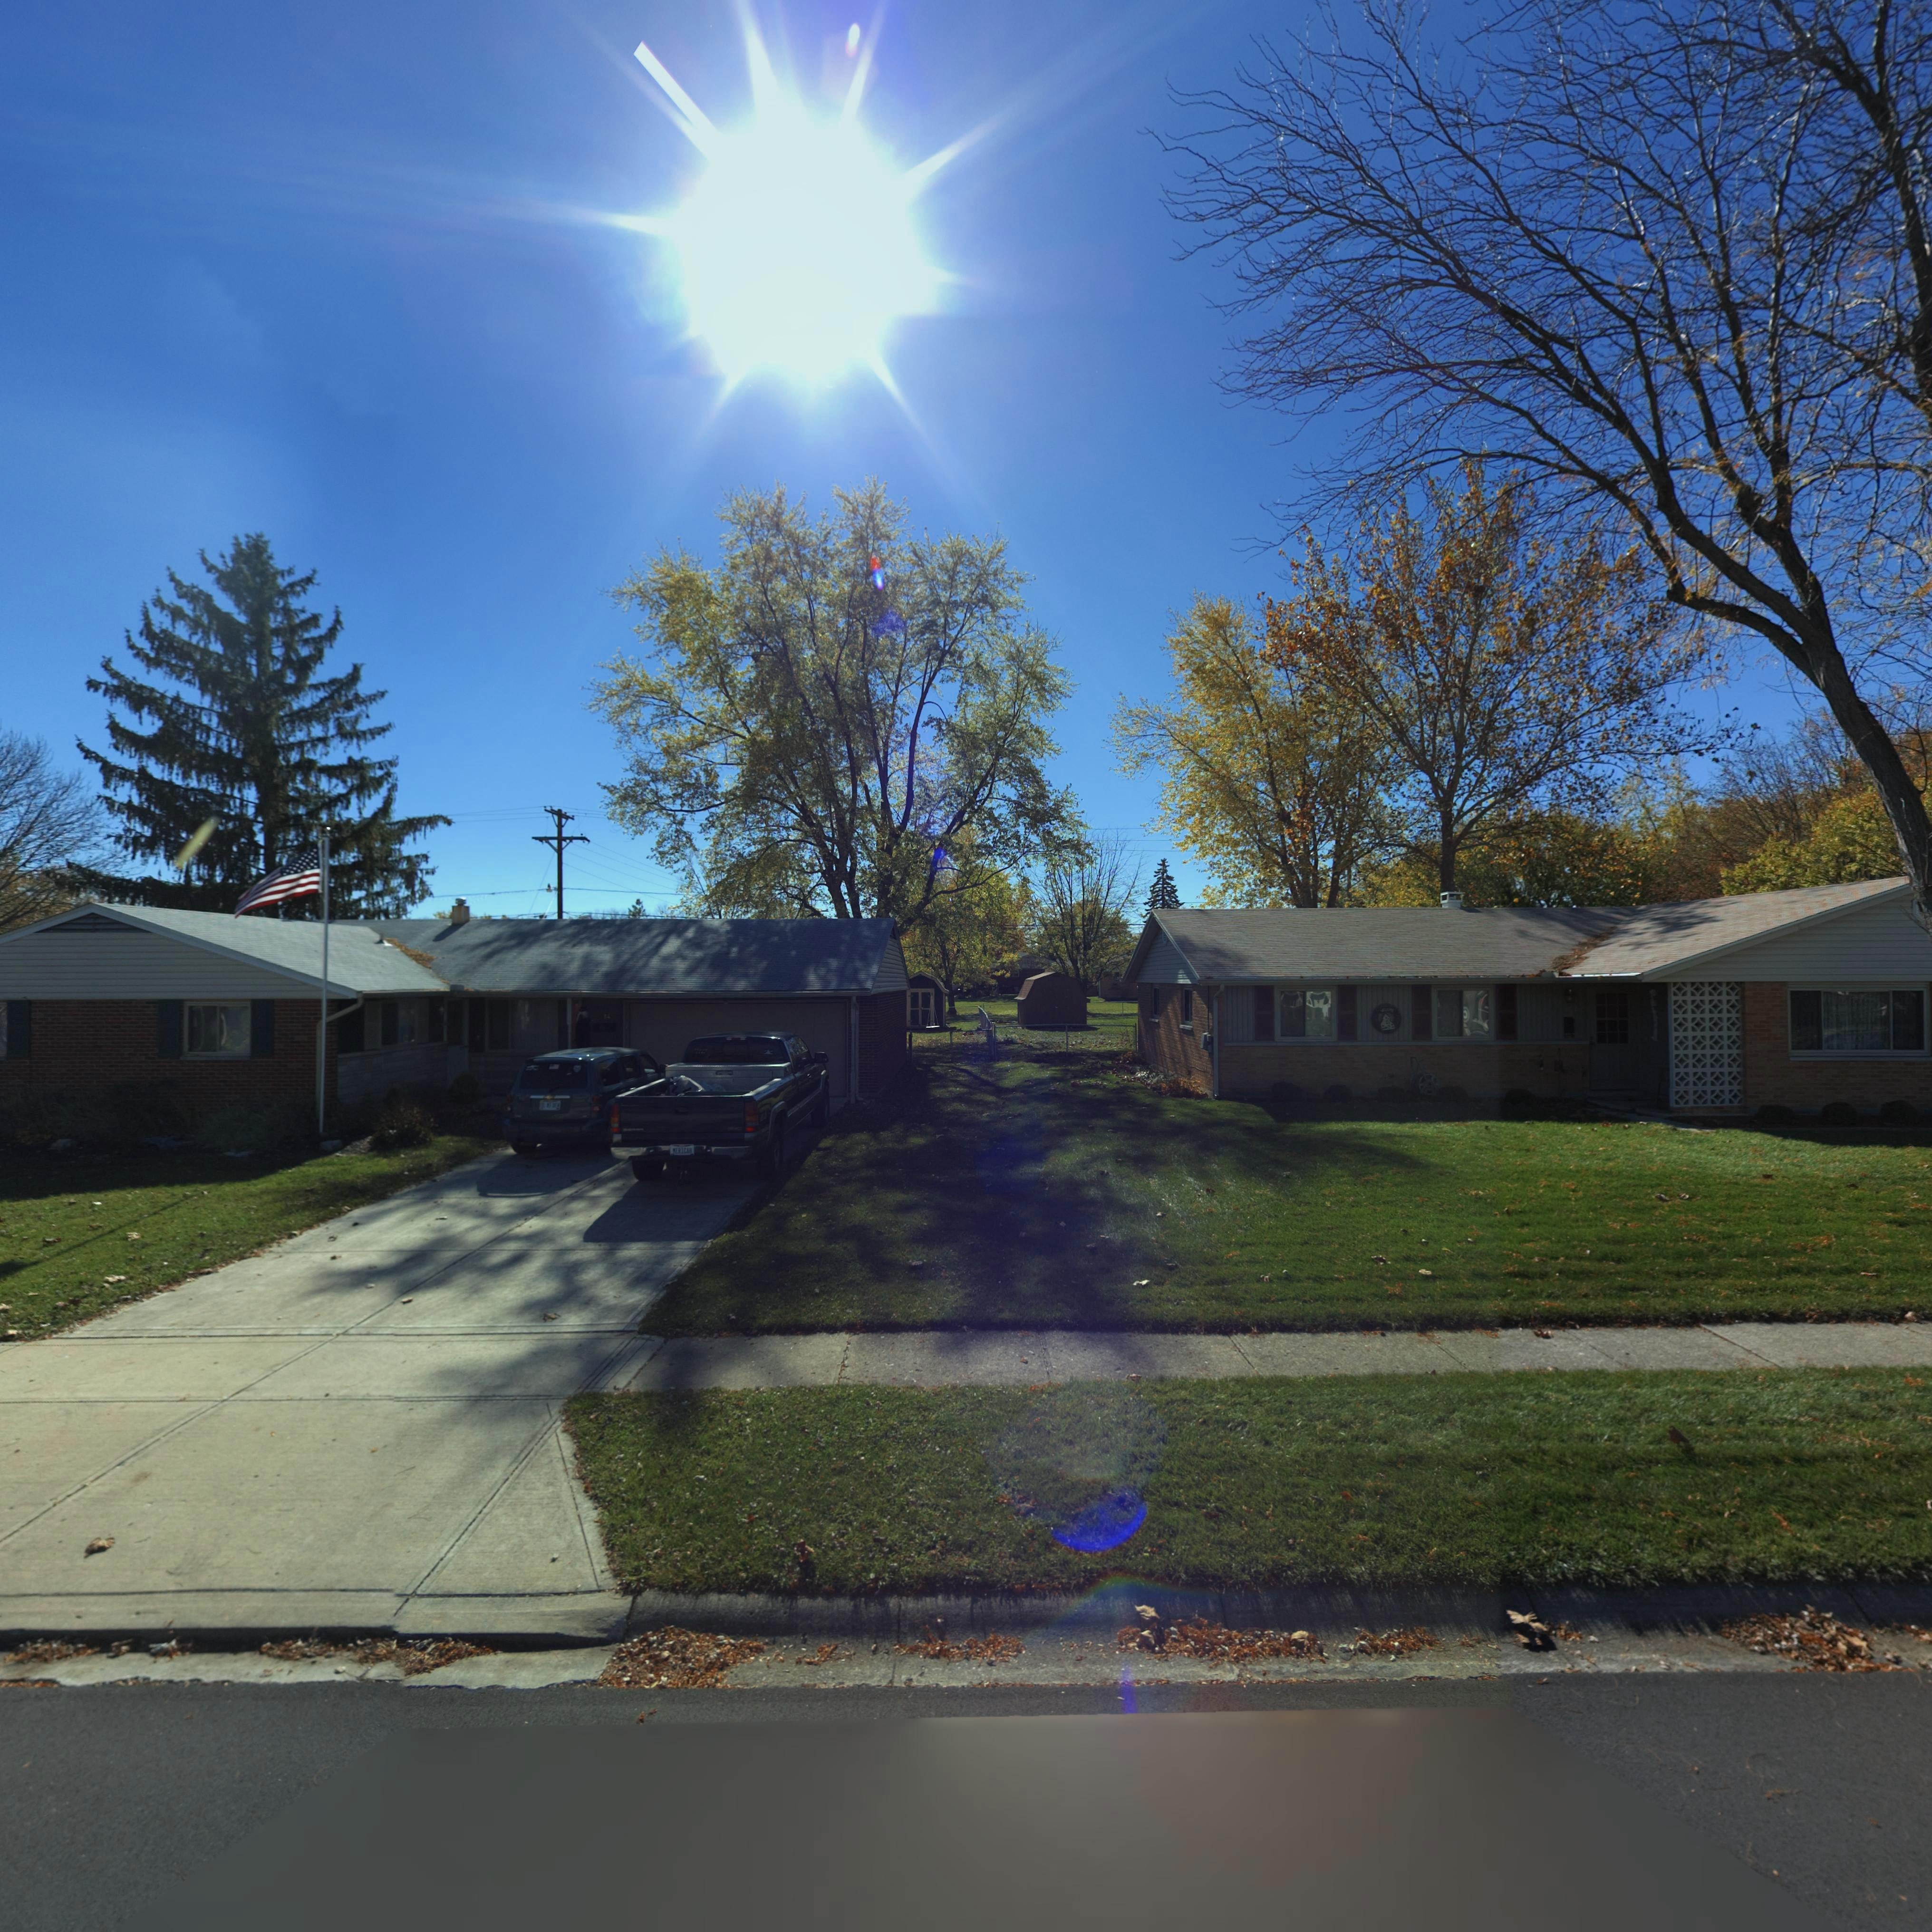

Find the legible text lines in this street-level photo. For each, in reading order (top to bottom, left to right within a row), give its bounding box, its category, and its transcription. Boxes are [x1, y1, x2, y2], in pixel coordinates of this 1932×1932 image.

[599, 1013, 611, 1020] StreetNumber: *14